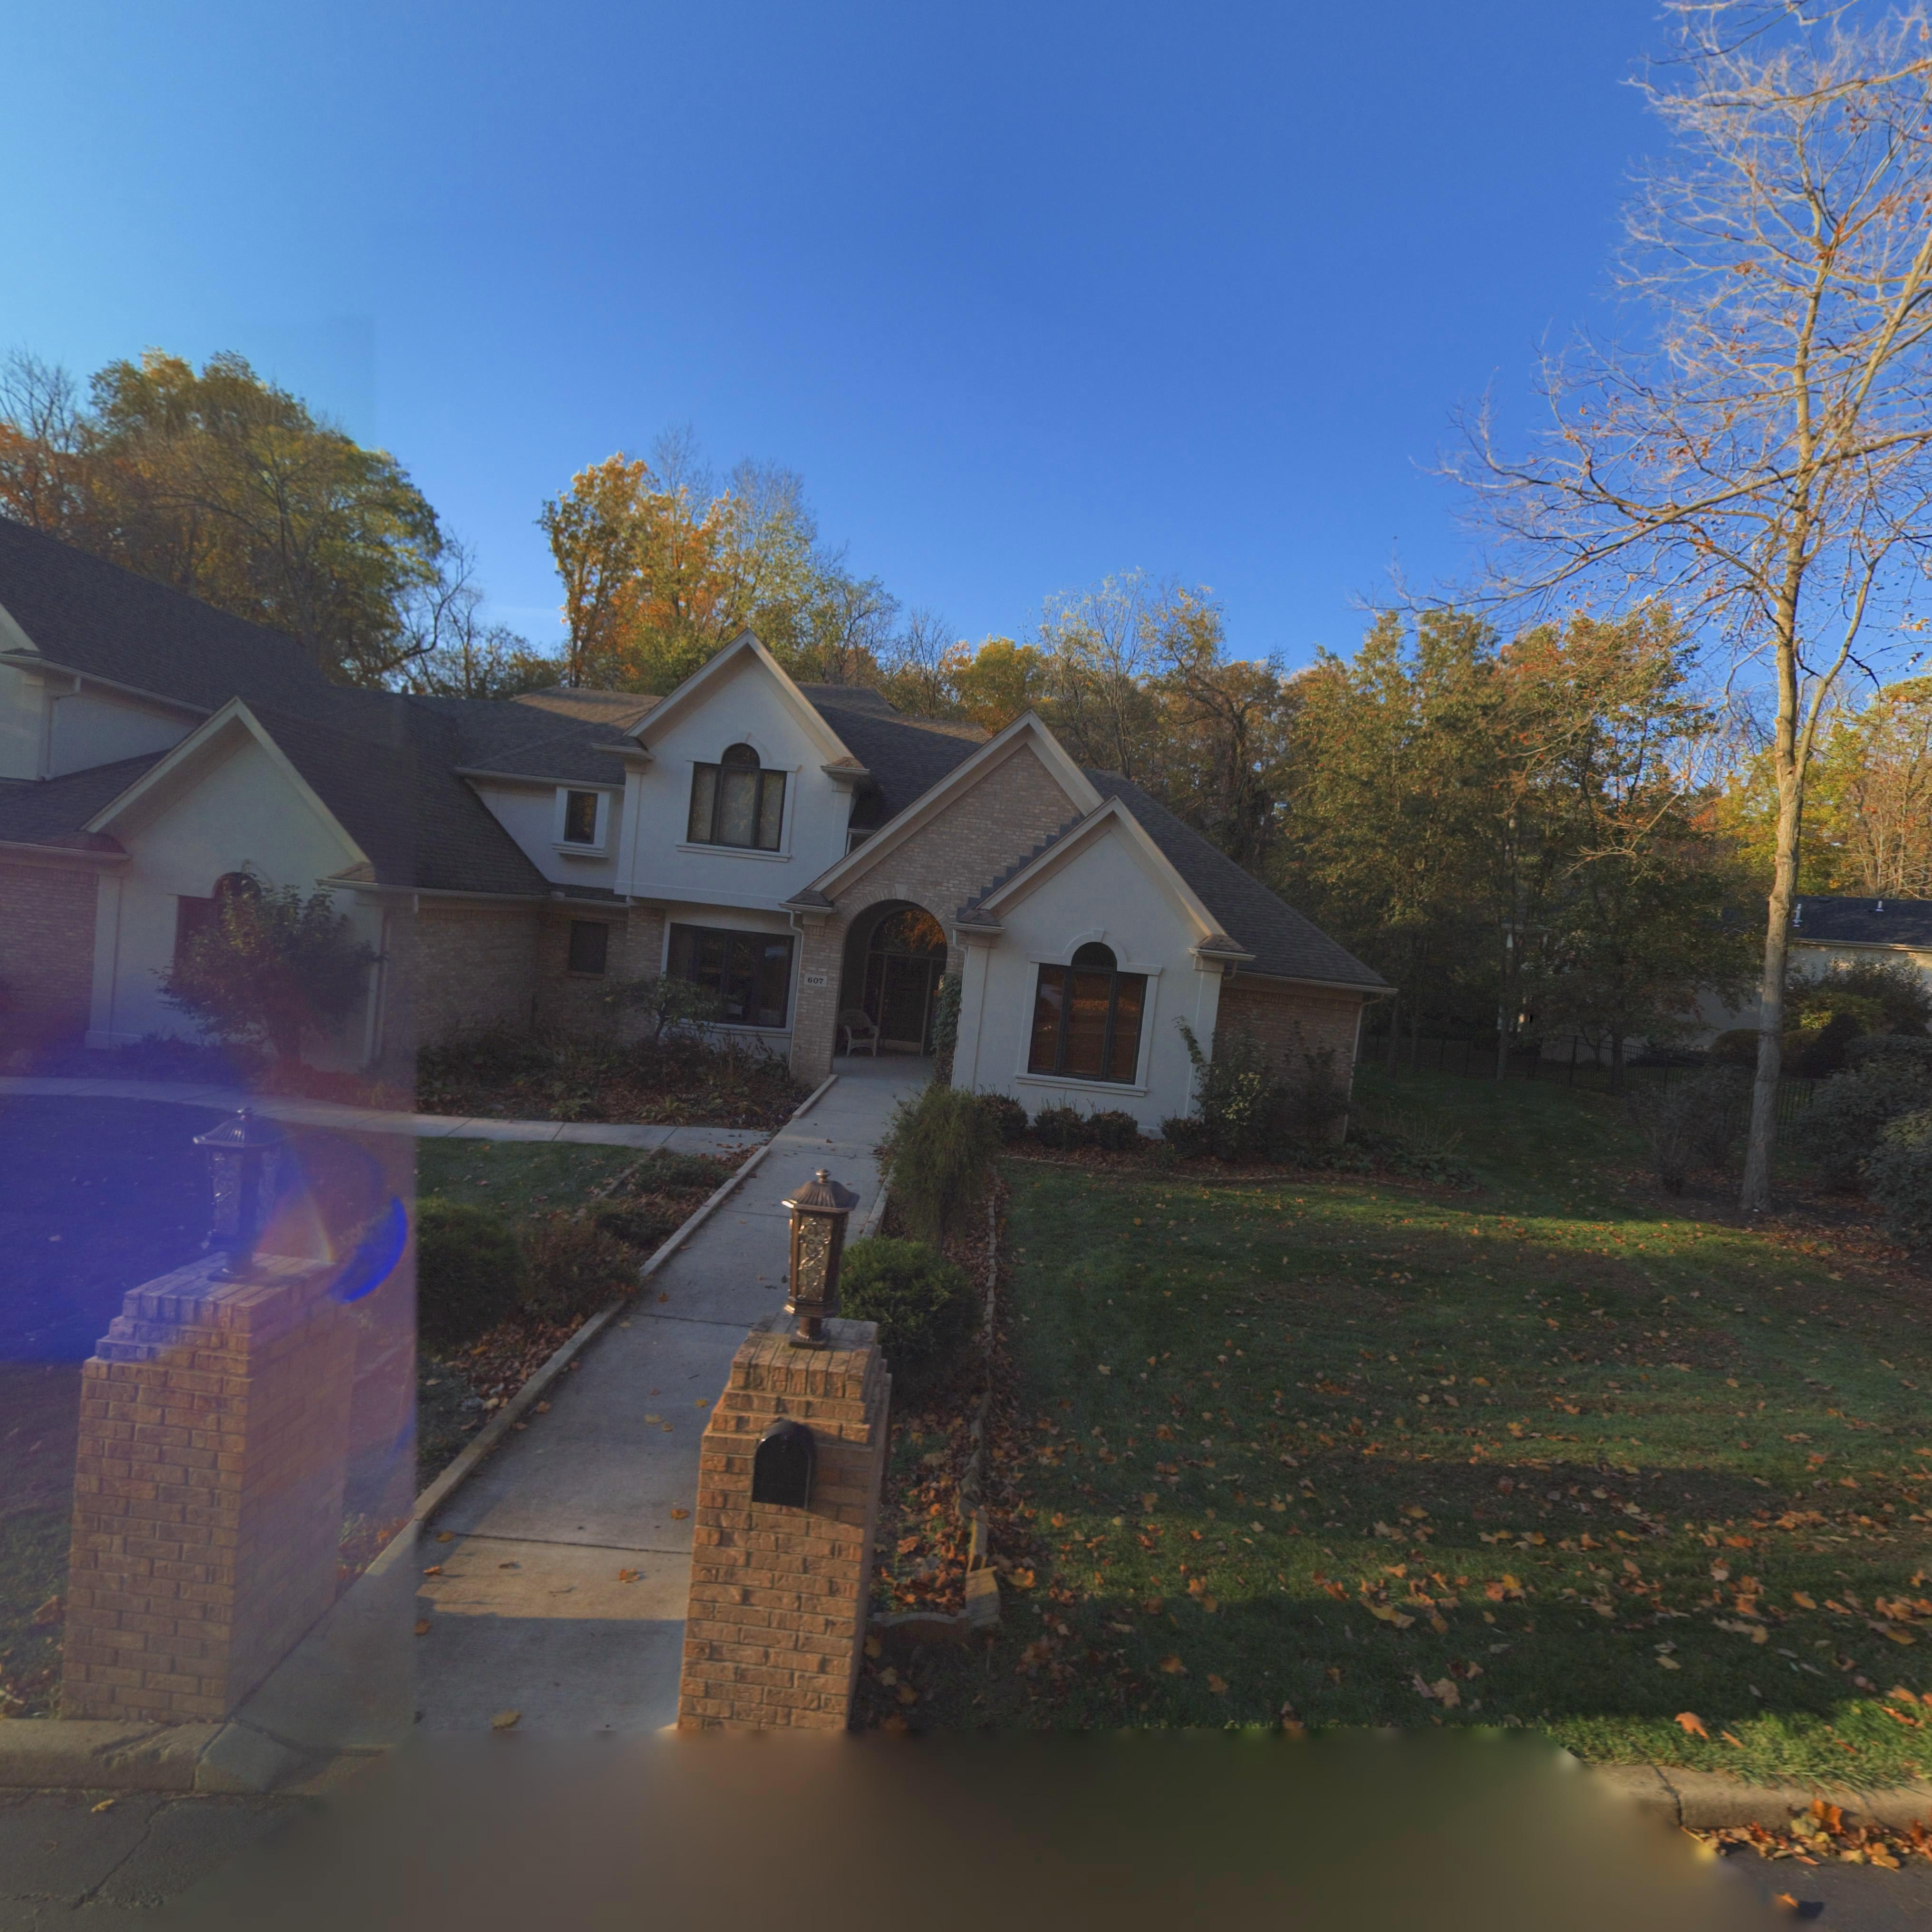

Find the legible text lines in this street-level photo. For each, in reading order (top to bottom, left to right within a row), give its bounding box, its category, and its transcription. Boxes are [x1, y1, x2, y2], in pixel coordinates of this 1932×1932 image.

[807, 976, 826, 985] StreetNumber: 607